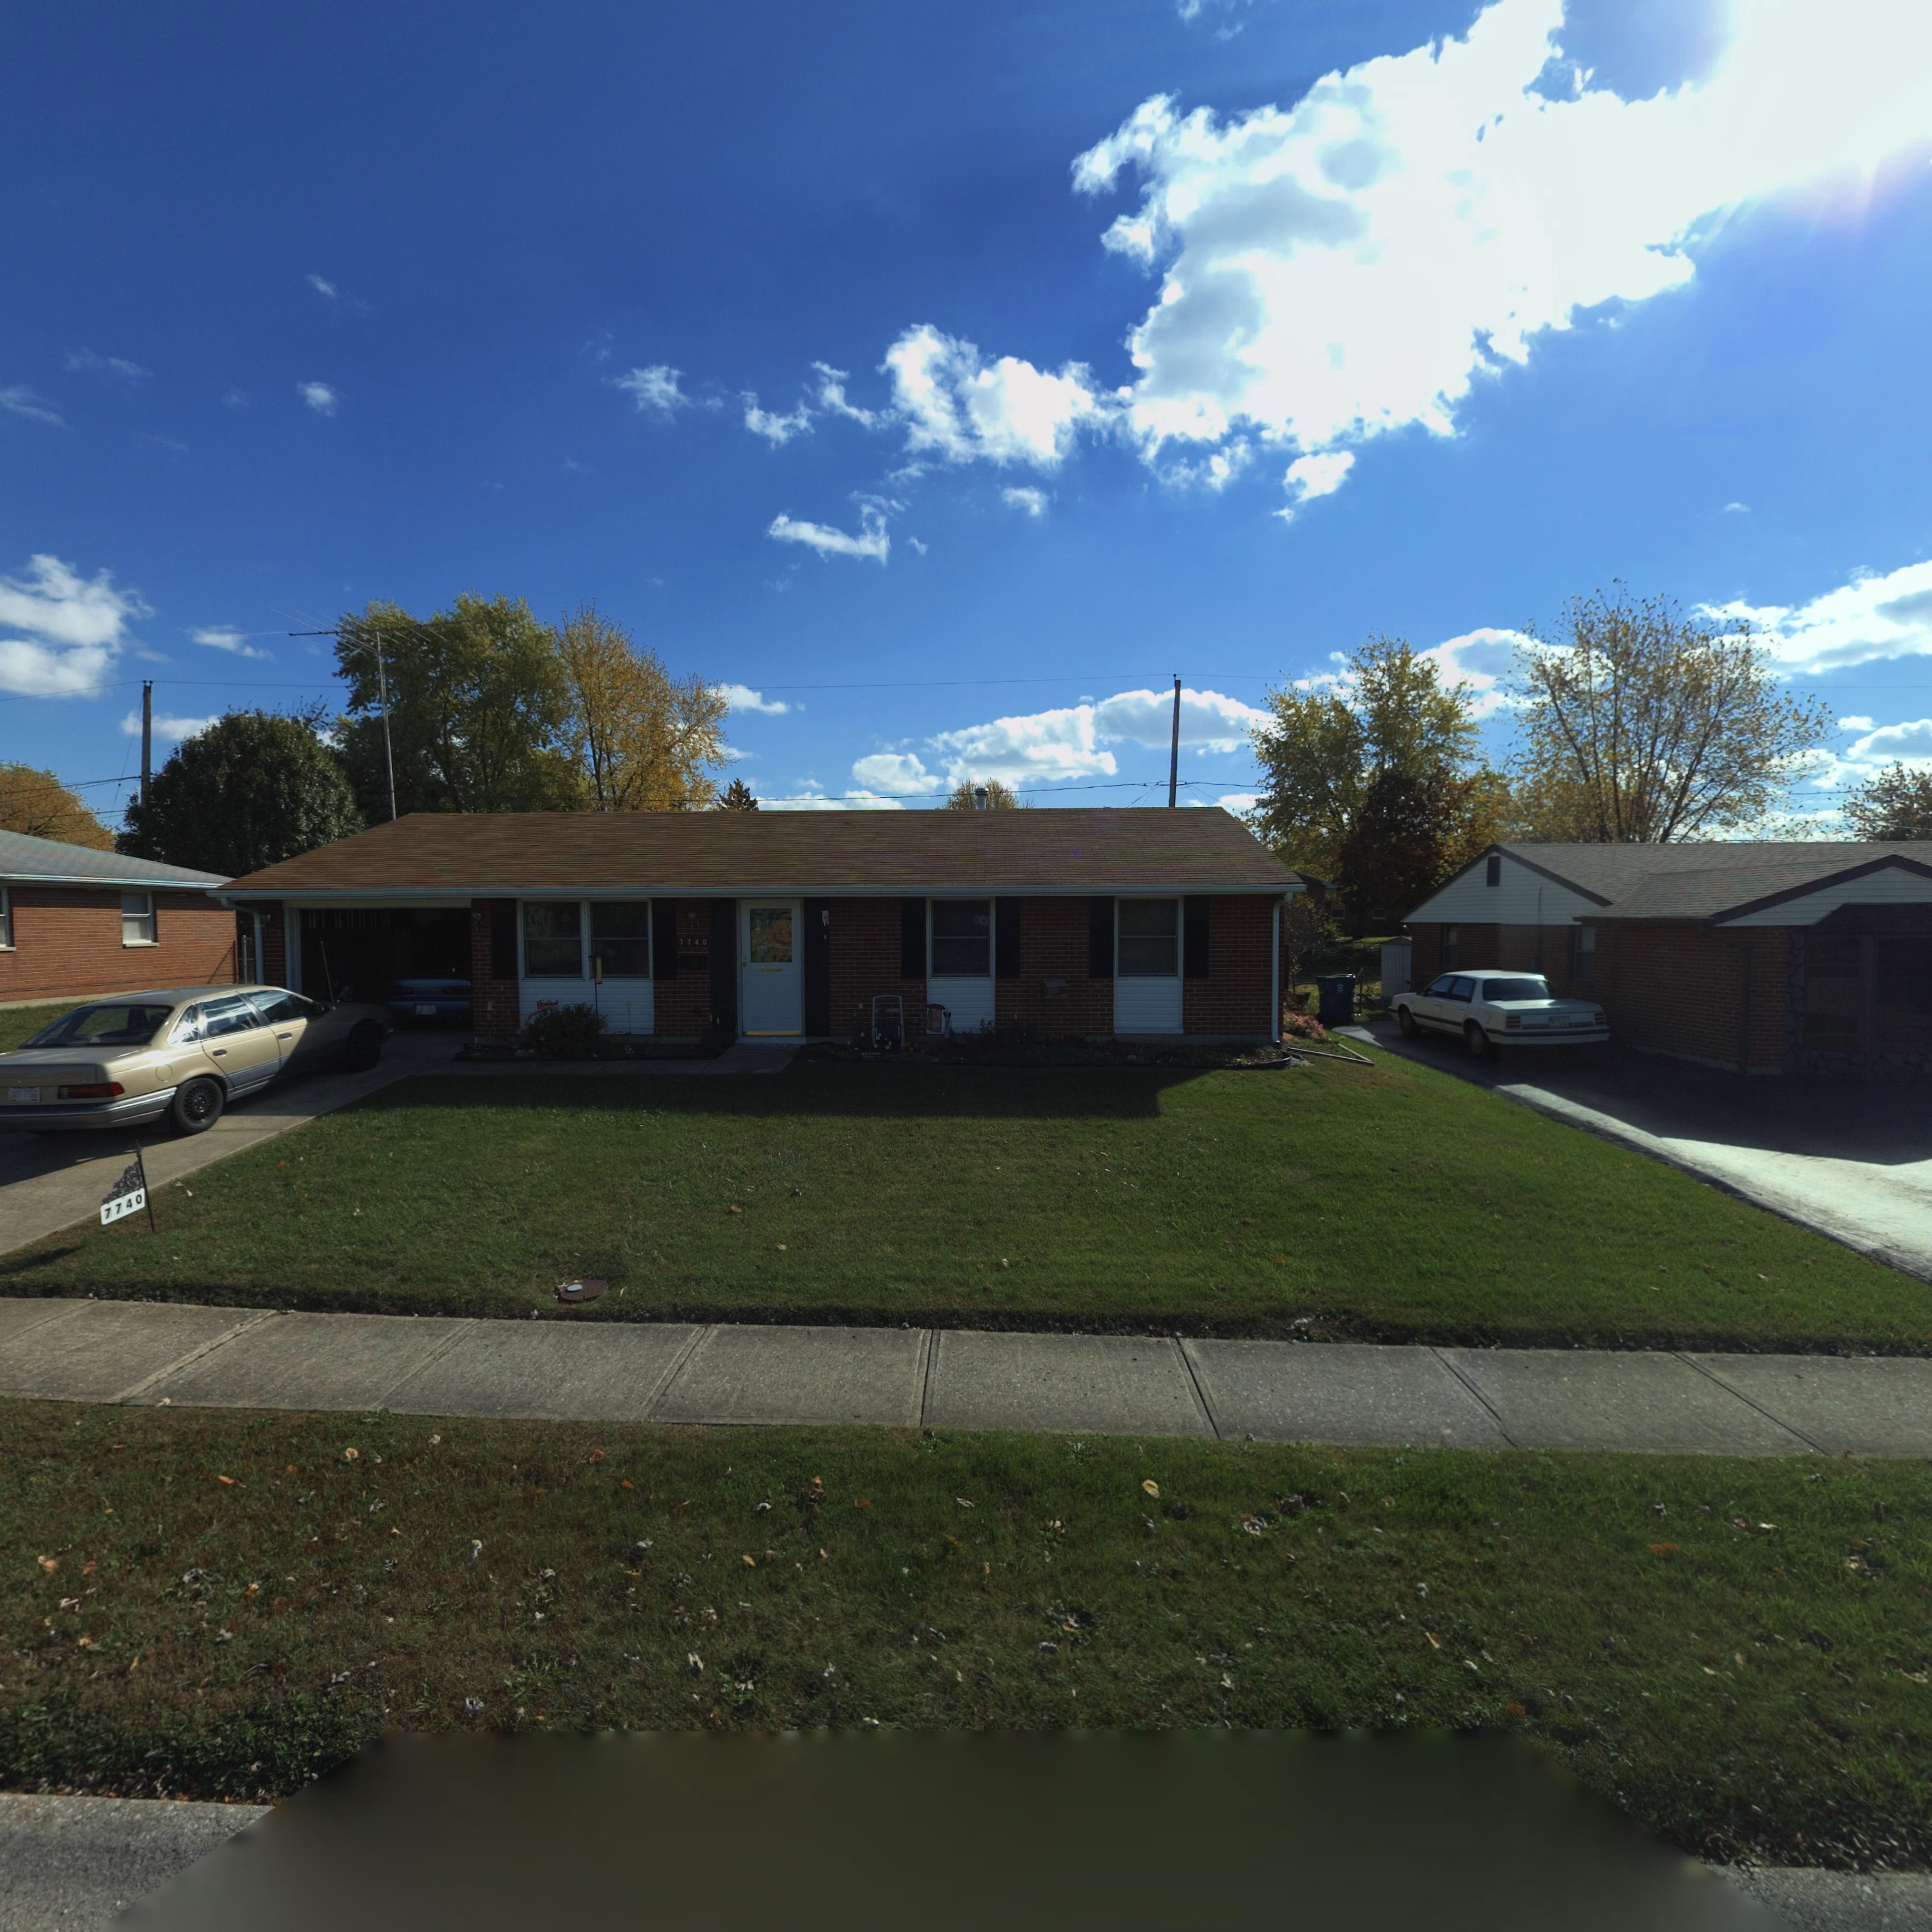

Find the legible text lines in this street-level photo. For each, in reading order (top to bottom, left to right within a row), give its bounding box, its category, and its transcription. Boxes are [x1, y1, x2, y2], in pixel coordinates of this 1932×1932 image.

[679, 938, 707, 946] StreetNumber: 7740
[104, 1193, 143, 1220] StreetNumber: 7740